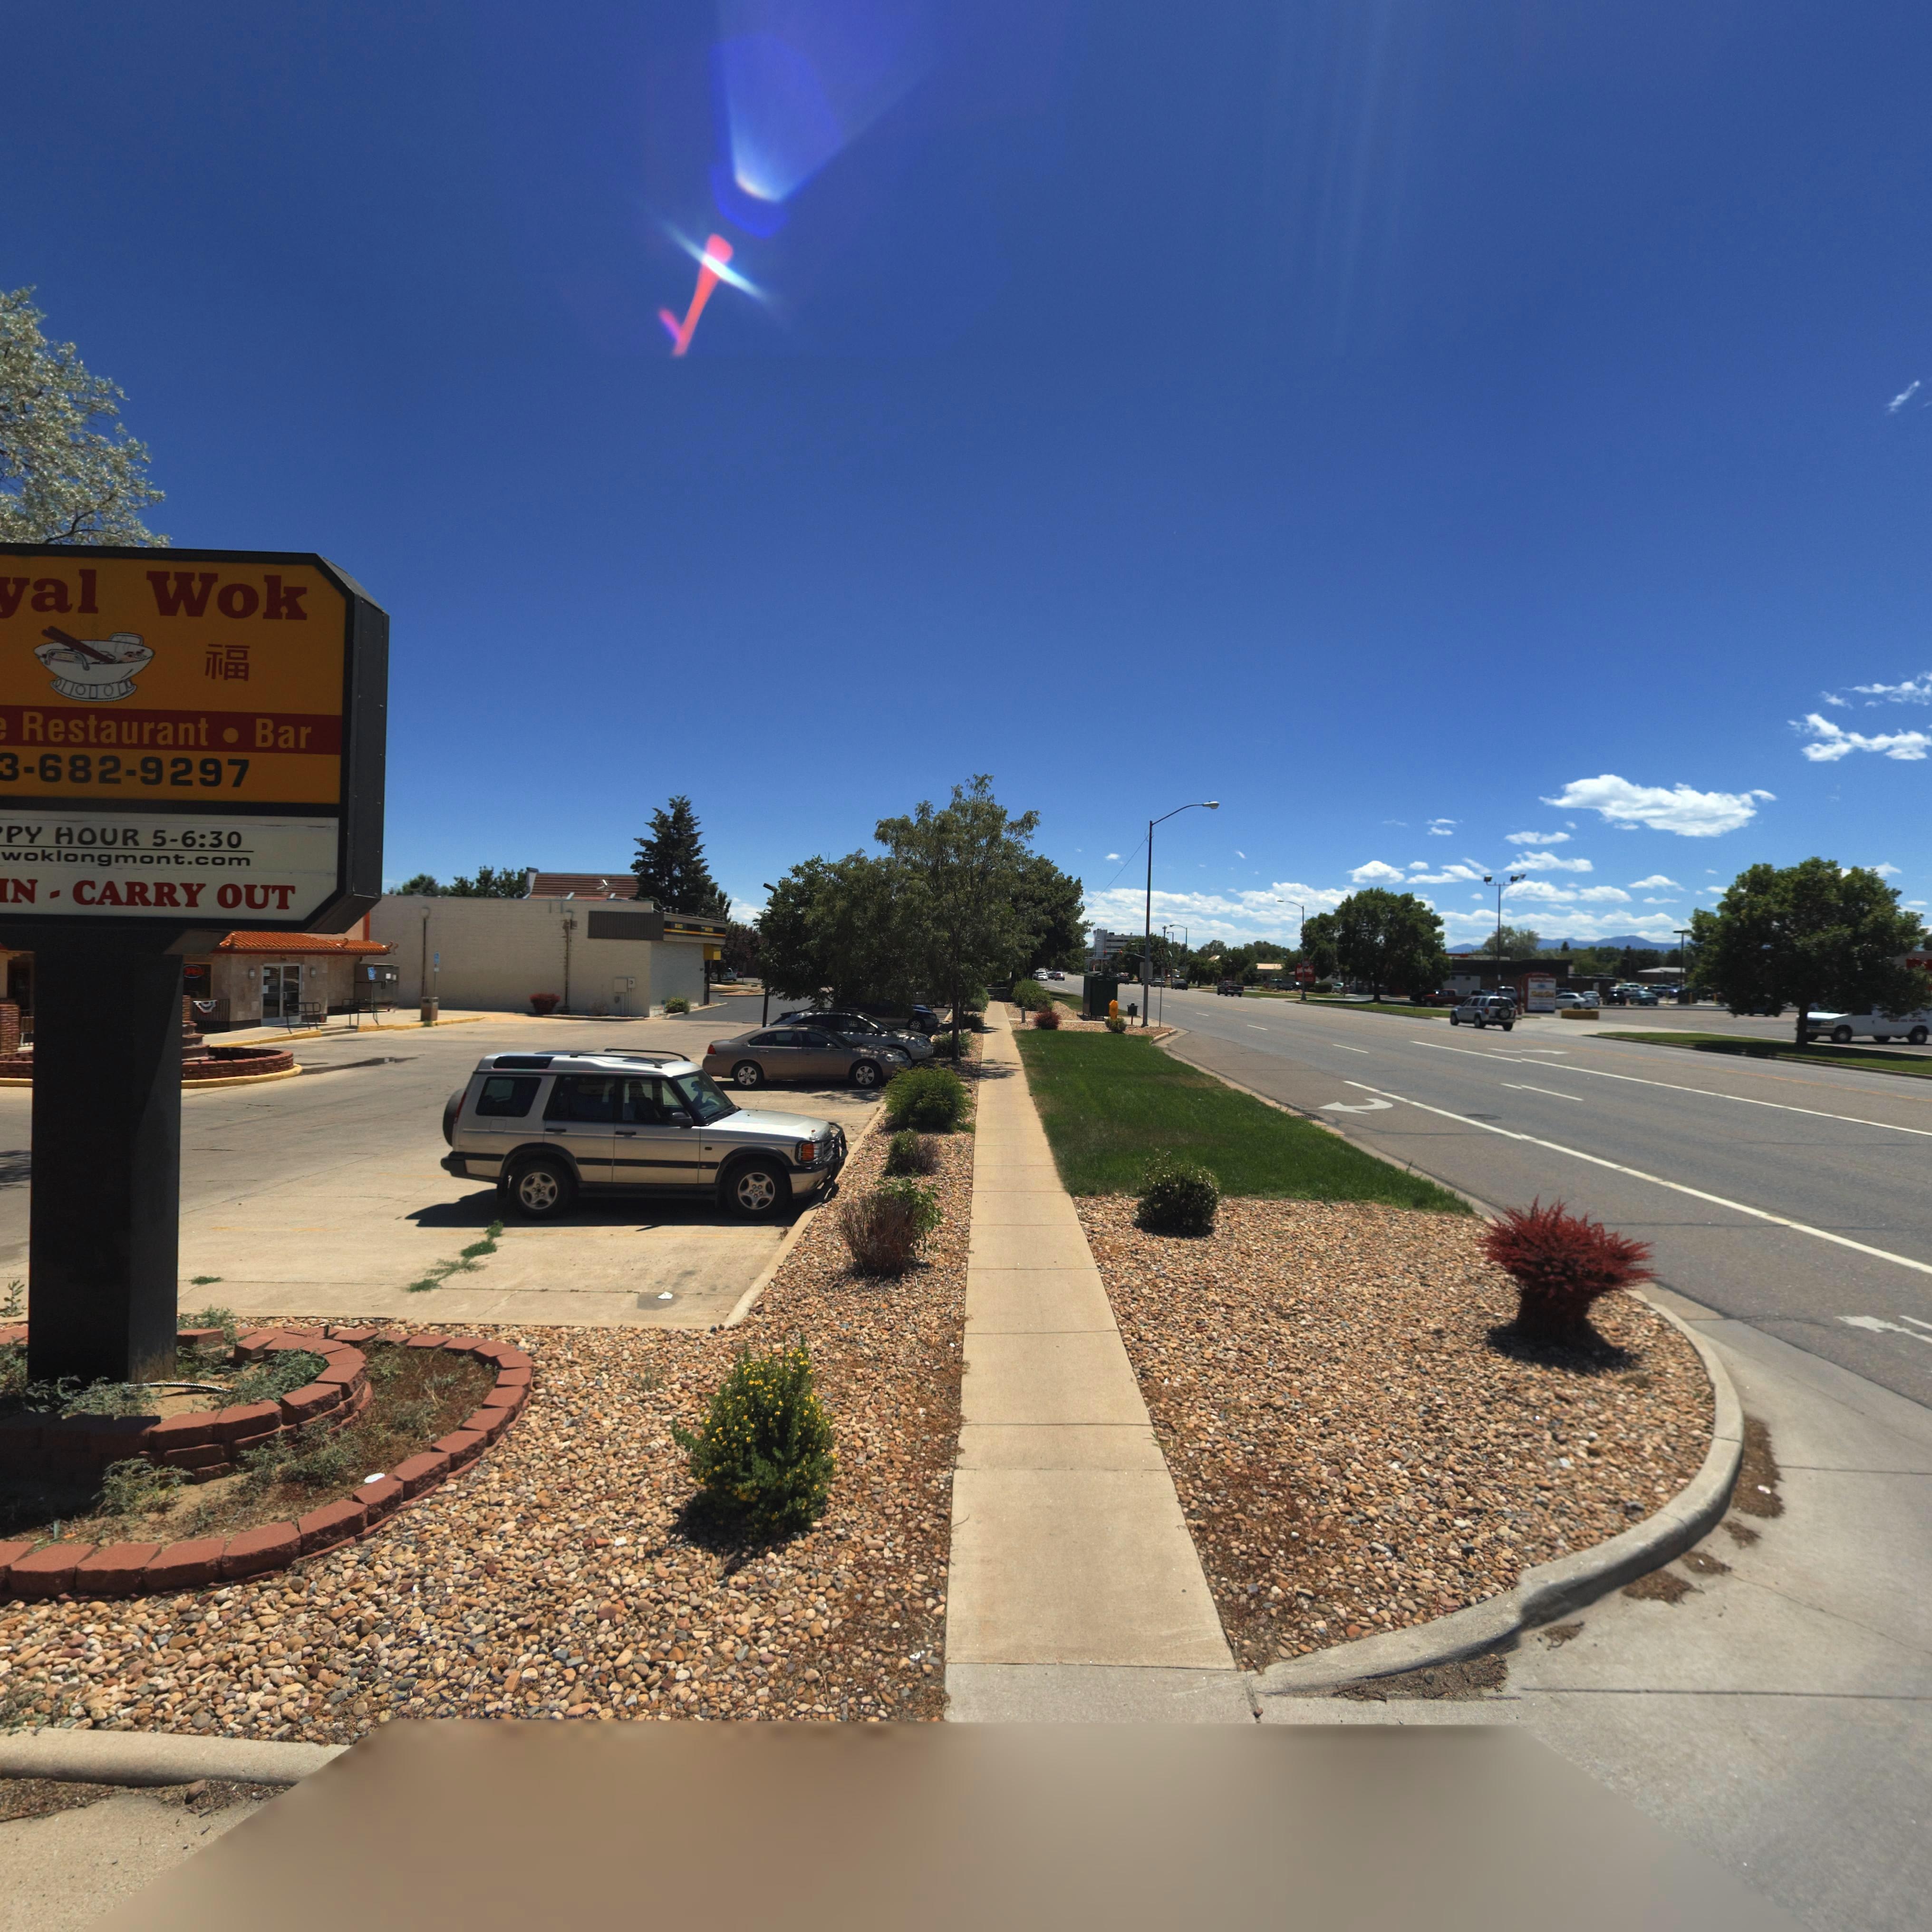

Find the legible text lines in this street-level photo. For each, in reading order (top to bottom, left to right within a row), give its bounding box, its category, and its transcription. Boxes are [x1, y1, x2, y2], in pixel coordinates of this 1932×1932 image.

[30, 567, 308, 621] BusinessName: al Wok
[1296, 966, 1314, 974] BusinessName: W**dy
[1529, 990, 1554, 997] BusinessName: S*******